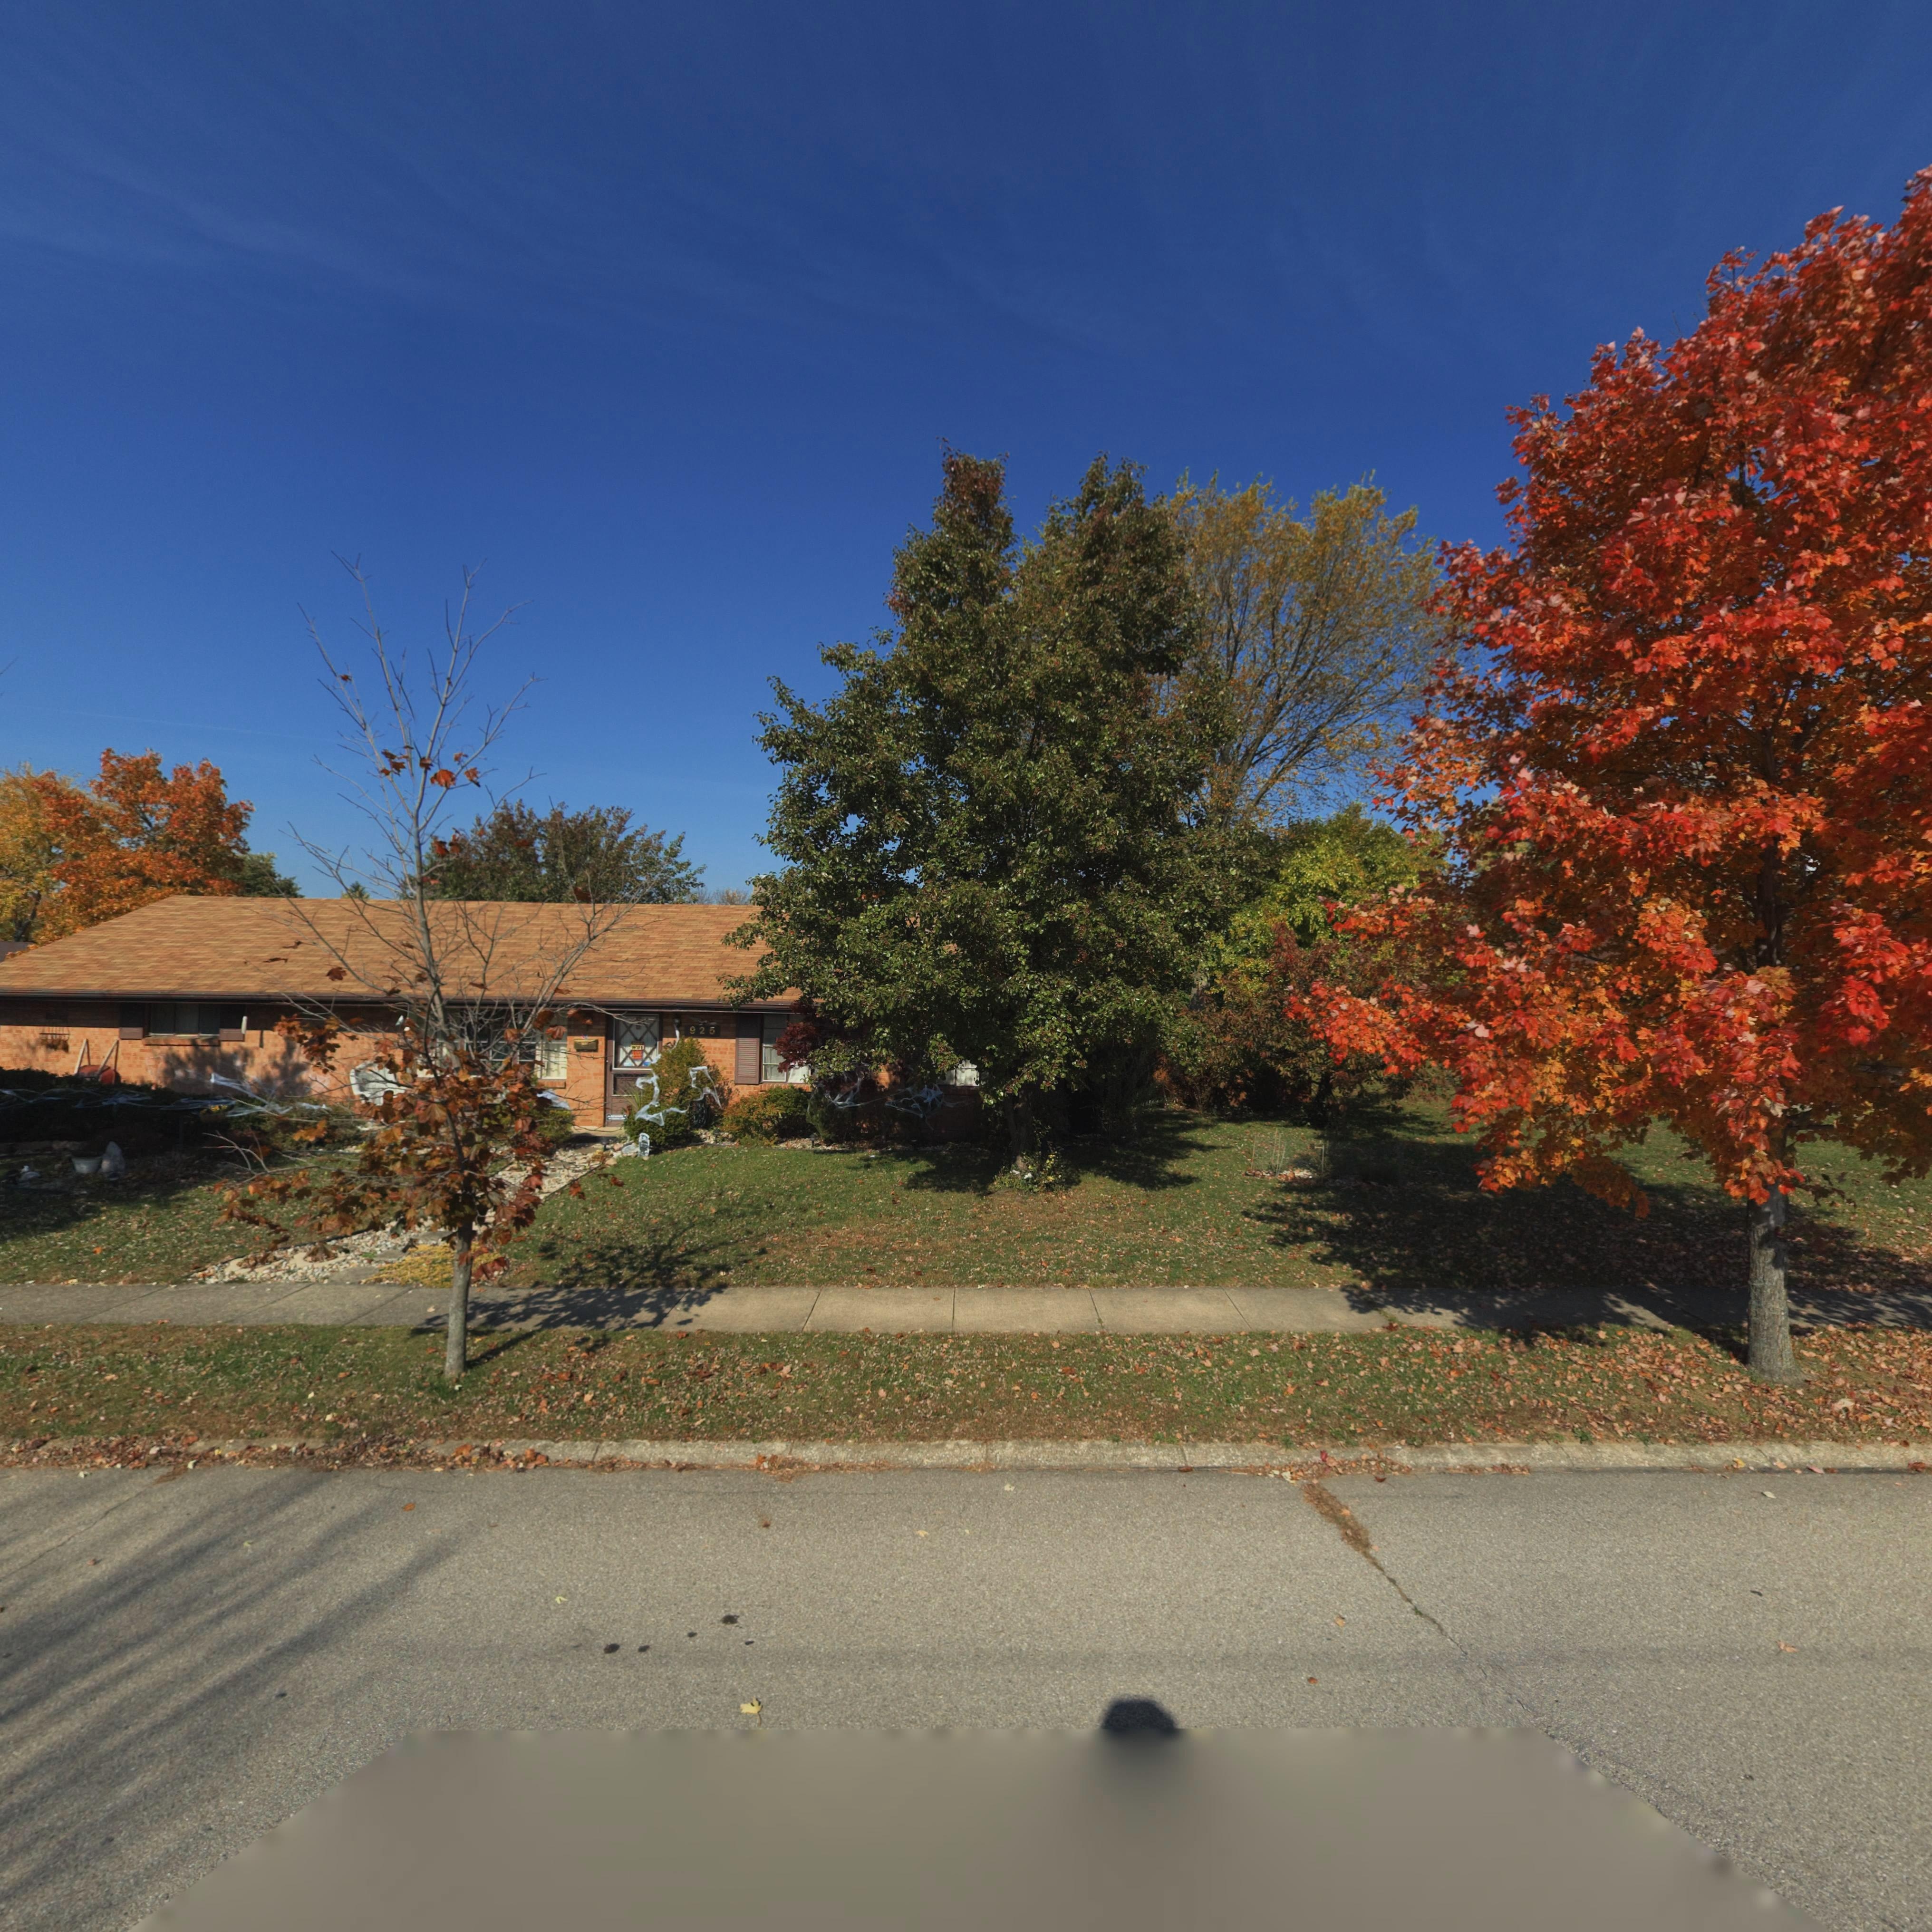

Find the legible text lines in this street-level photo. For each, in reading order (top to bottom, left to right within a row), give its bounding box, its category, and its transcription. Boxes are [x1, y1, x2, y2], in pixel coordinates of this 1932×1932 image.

[688, 1025, 716, 1036] StreetNumber: 925
[630, 1044, 645, 1051] None: WIFE